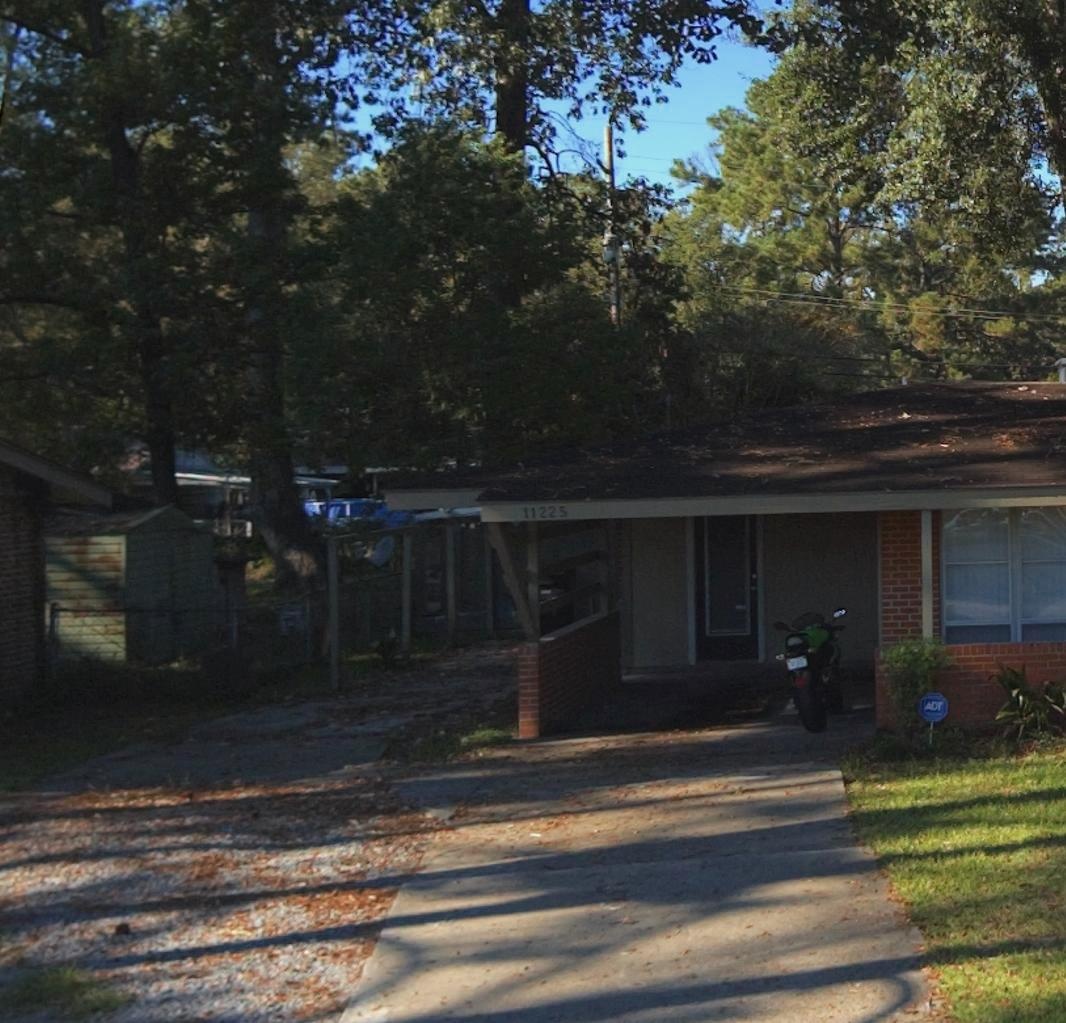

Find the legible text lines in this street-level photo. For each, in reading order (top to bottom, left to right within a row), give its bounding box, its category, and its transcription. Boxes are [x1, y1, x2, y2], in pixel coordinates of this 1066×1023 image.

[522, 505, 568, 520] StreetNumber: 11225
[922, 700, 944, 712] None: ADT